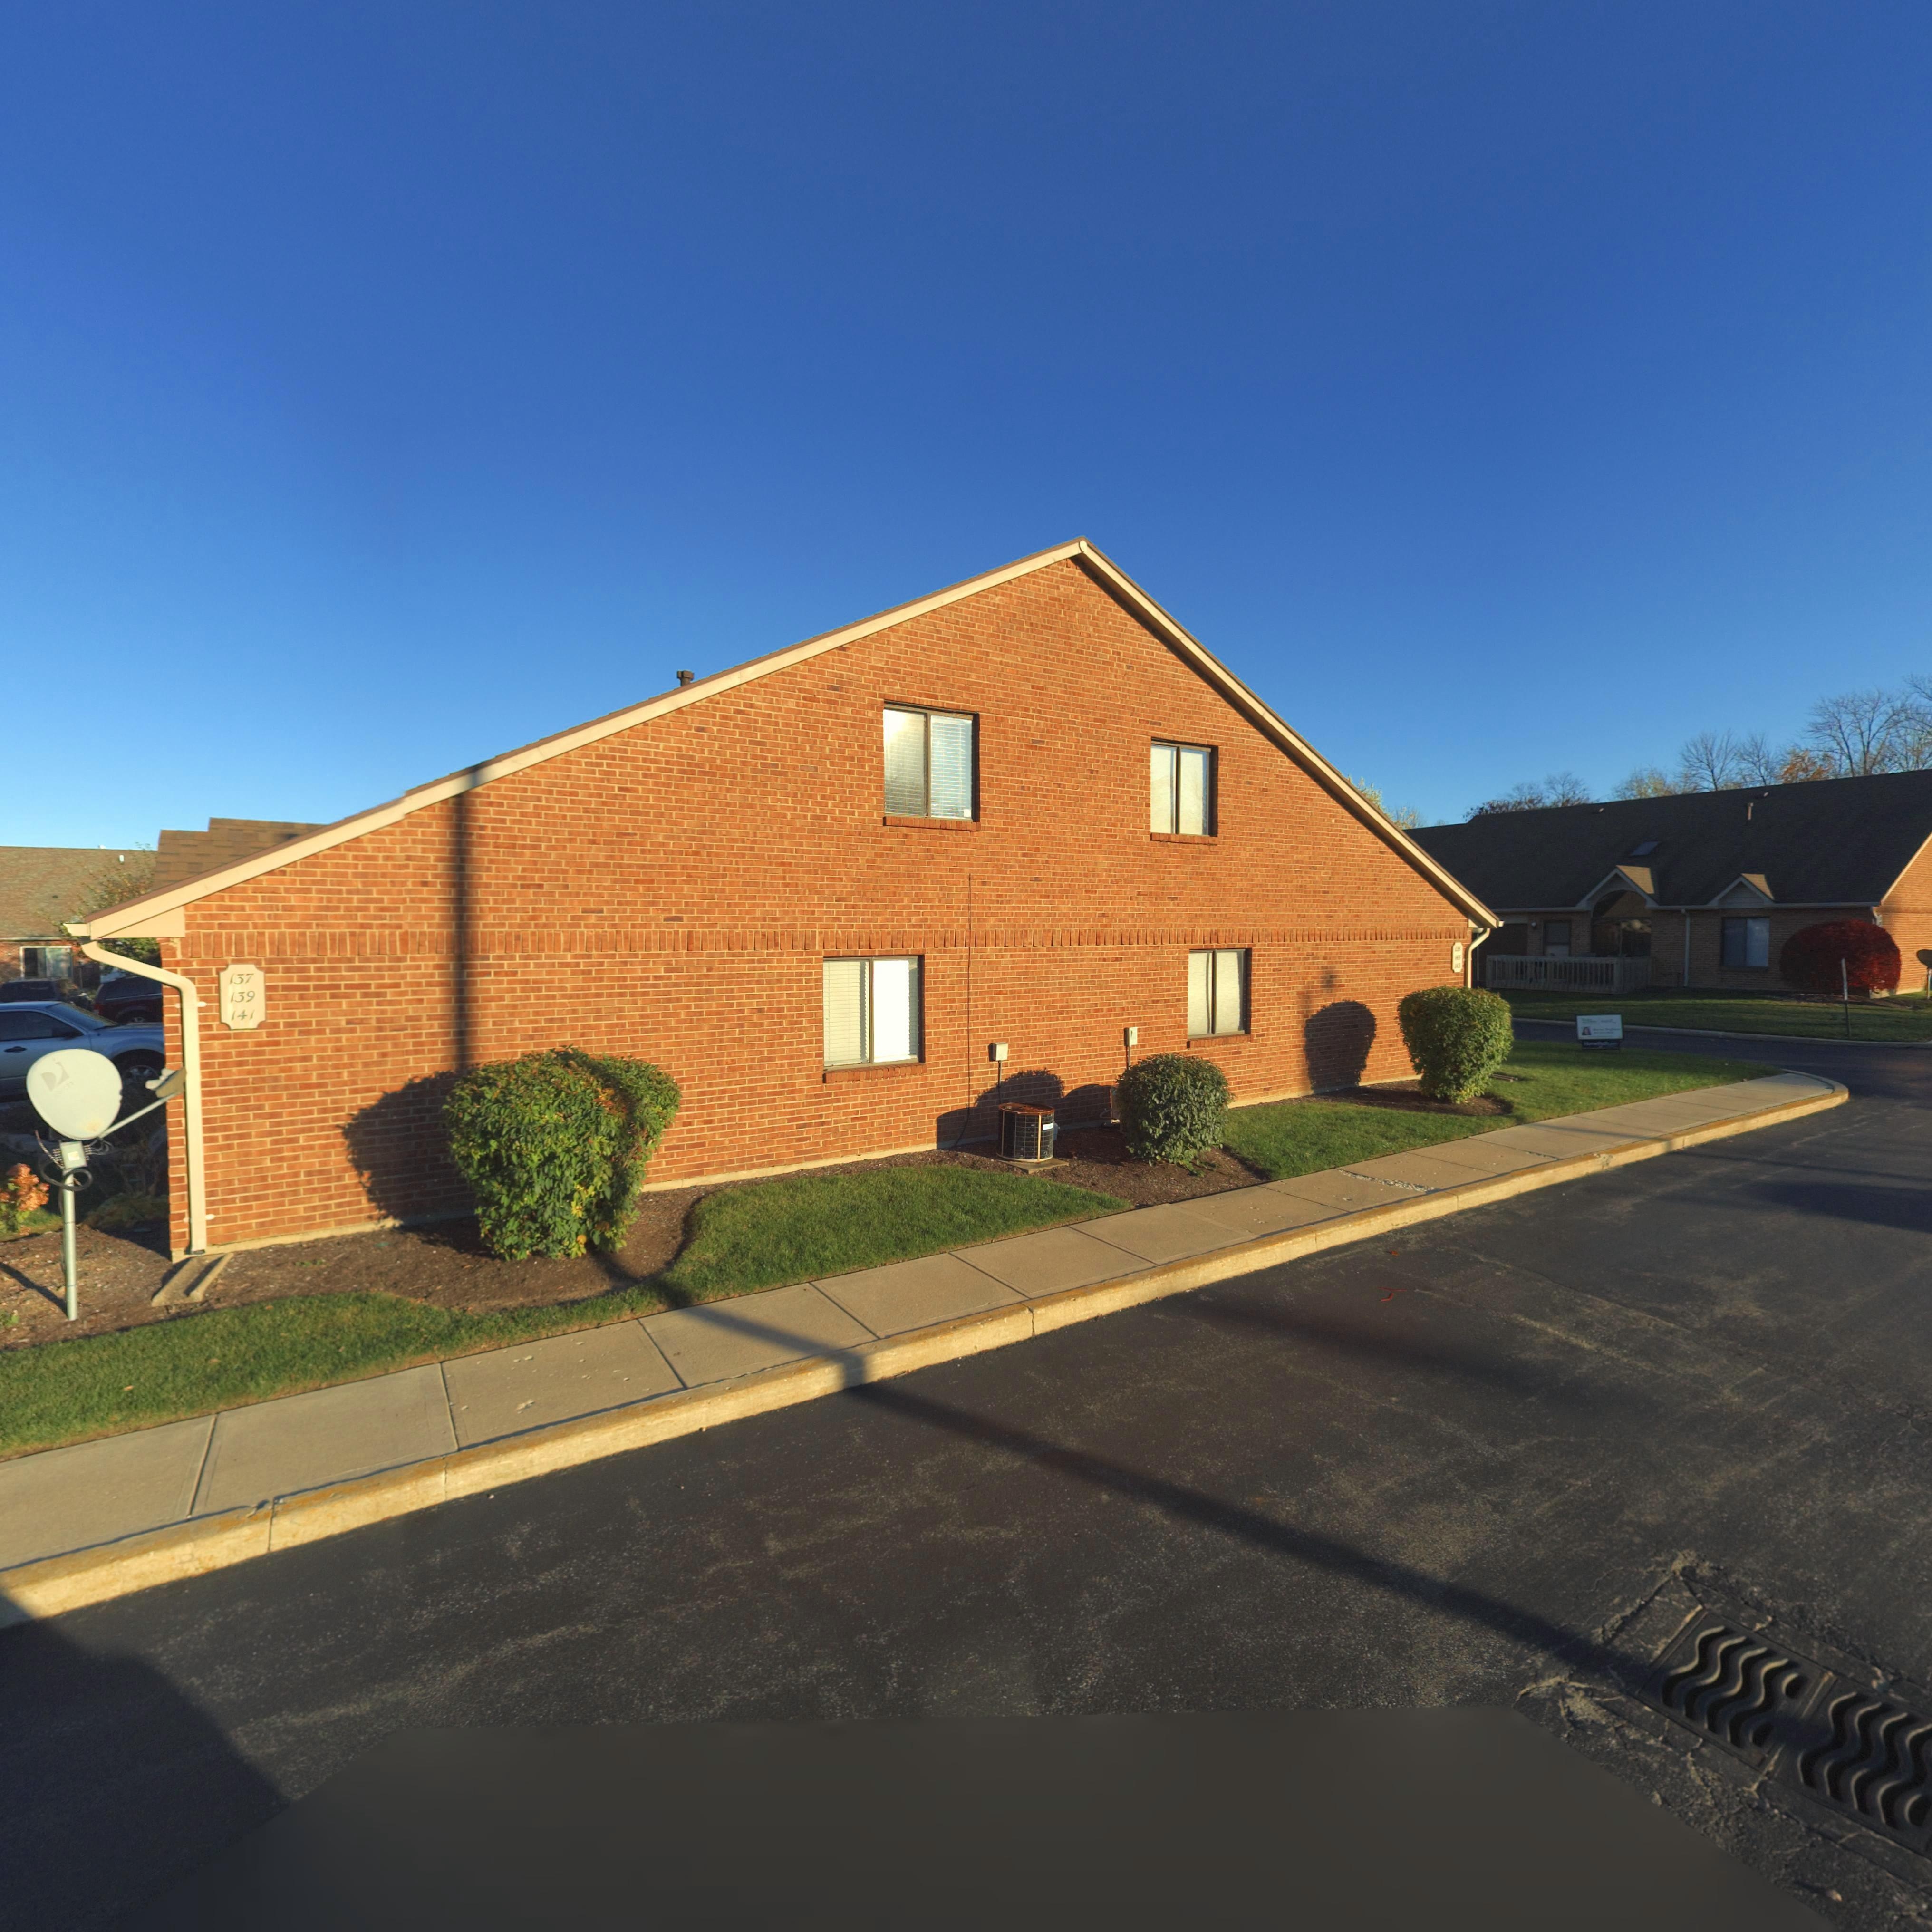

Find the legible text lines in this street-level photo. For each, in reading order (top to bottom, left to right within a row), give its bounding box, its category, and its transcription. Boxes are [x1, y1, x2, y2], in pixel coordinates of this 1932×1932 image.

[229, 972, 256, 985] StreetNumber: 137
[229, 989, 257, 1005] StreetNumber: 139
[230, 1008, 257, 1023] StreetNumber: 141